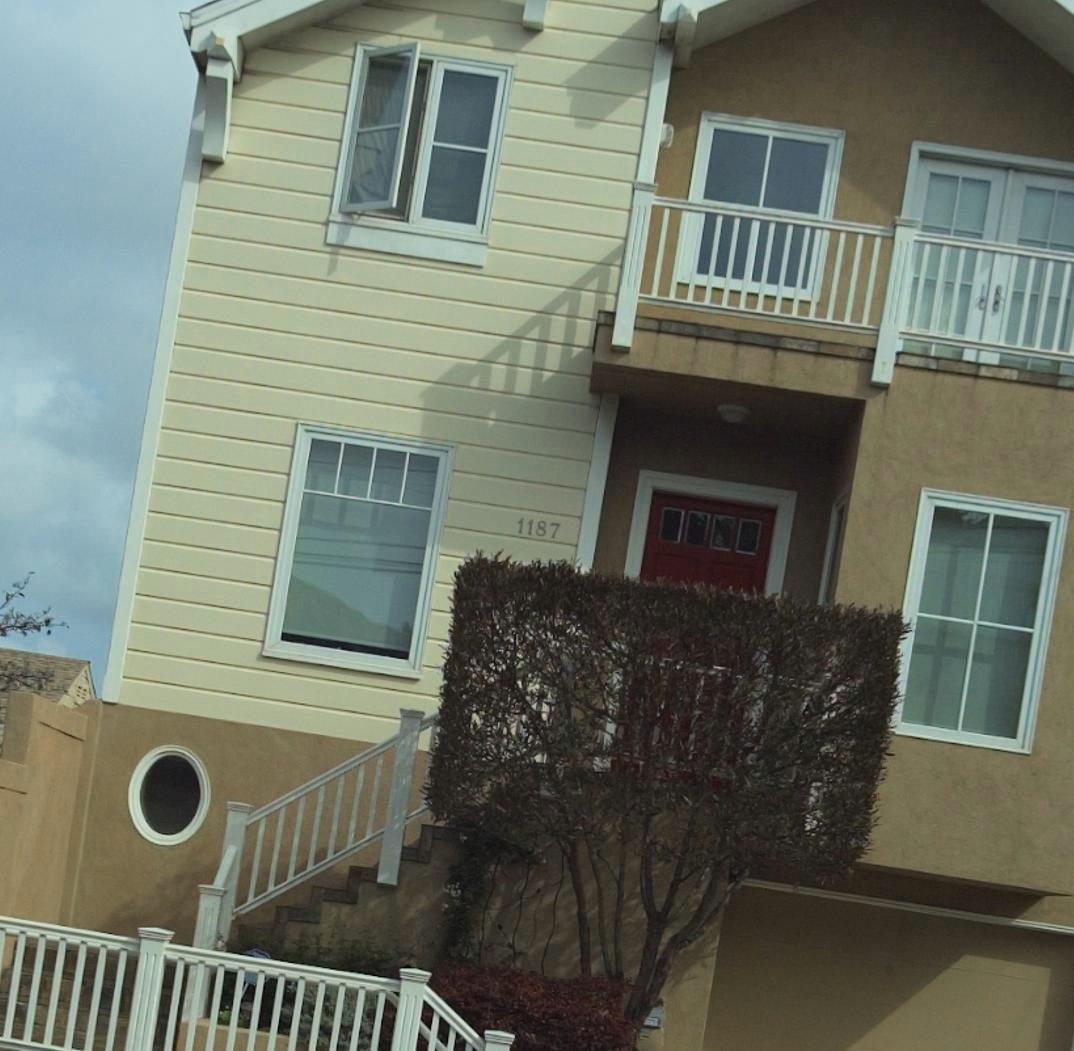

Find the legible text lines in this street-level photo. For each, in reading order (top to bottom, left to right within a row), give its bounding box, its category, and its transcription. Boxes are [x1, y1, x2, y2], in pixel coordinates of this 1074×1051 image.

[517, 516, 562, 540] StreetNumber: 1187